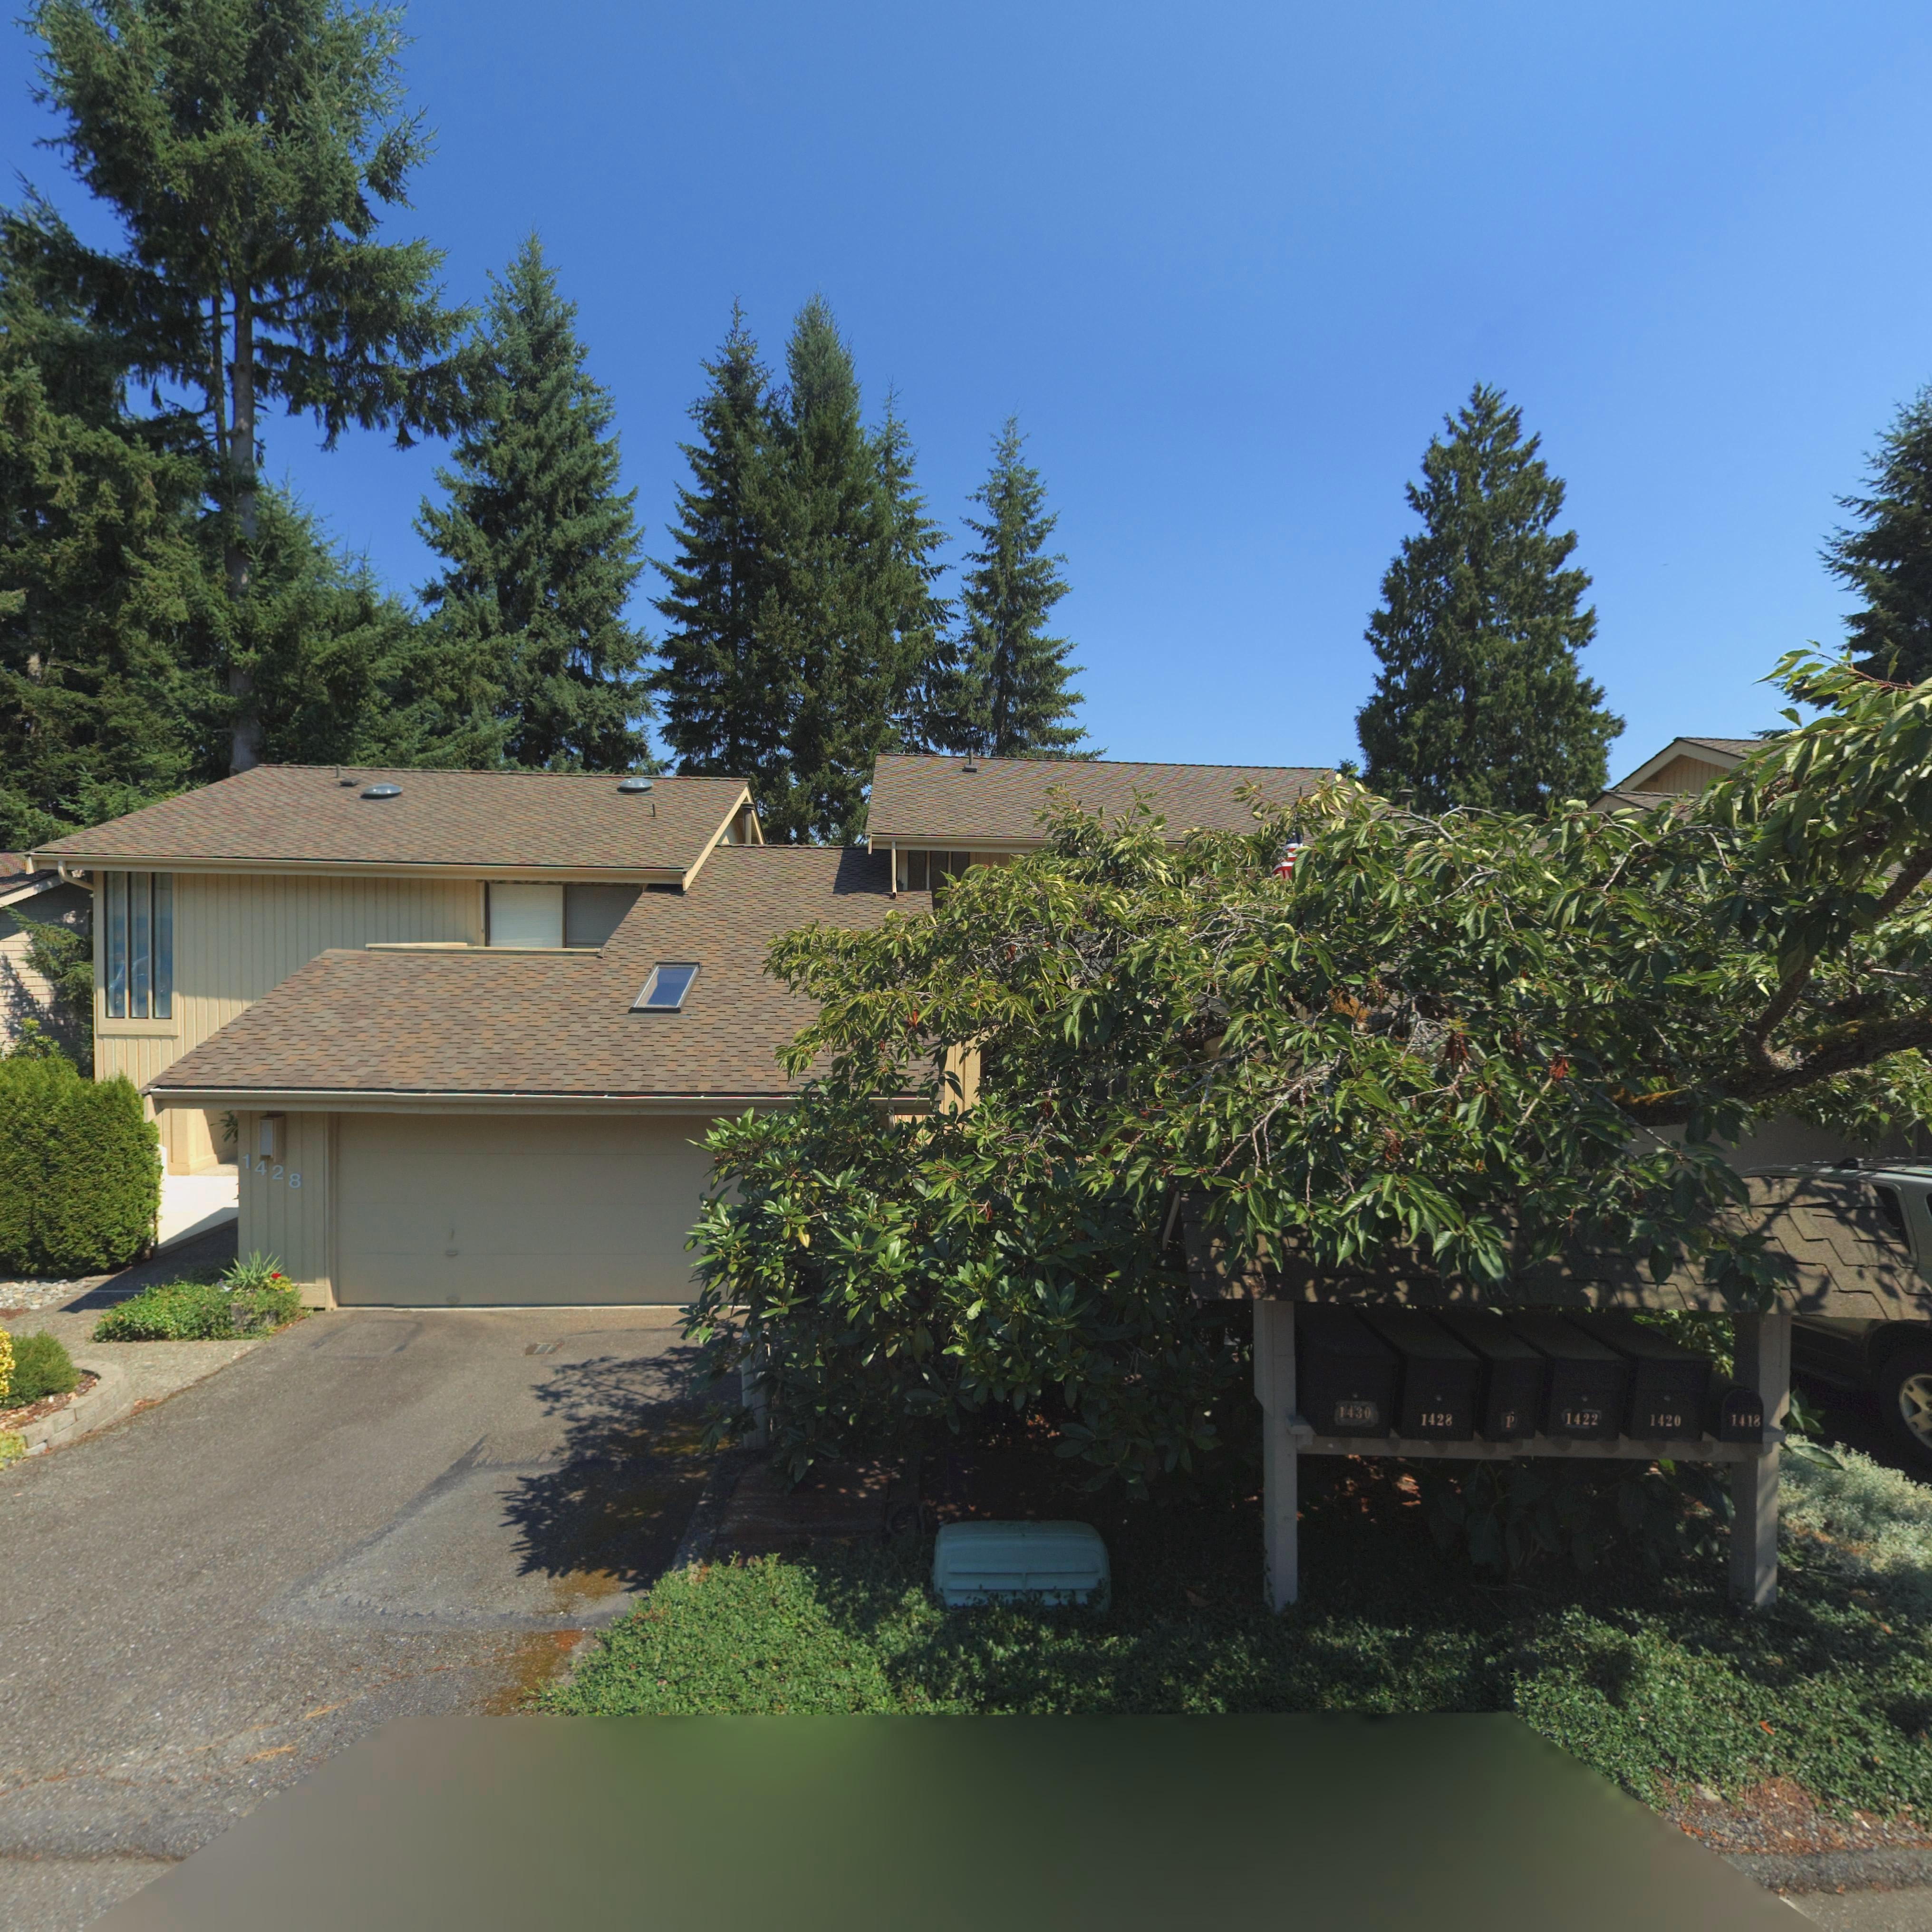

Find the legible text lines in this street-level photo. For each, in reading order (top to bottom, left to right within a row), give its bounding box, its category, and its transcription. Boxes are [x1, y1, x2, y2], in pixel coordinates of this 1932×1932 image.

[1339, 1406, 1371, 1418] StreetNumber: 1430
[1422, 1413, 1451, 1426] StreetNumber: 1428
[1566, 1413, 1598, 1426] StreetNumber: 1422
[1650, 1411, 1681, 1427] StreetNumber: 1420
[1730, 1412, 1761, 1428] StreetNumber: 1418